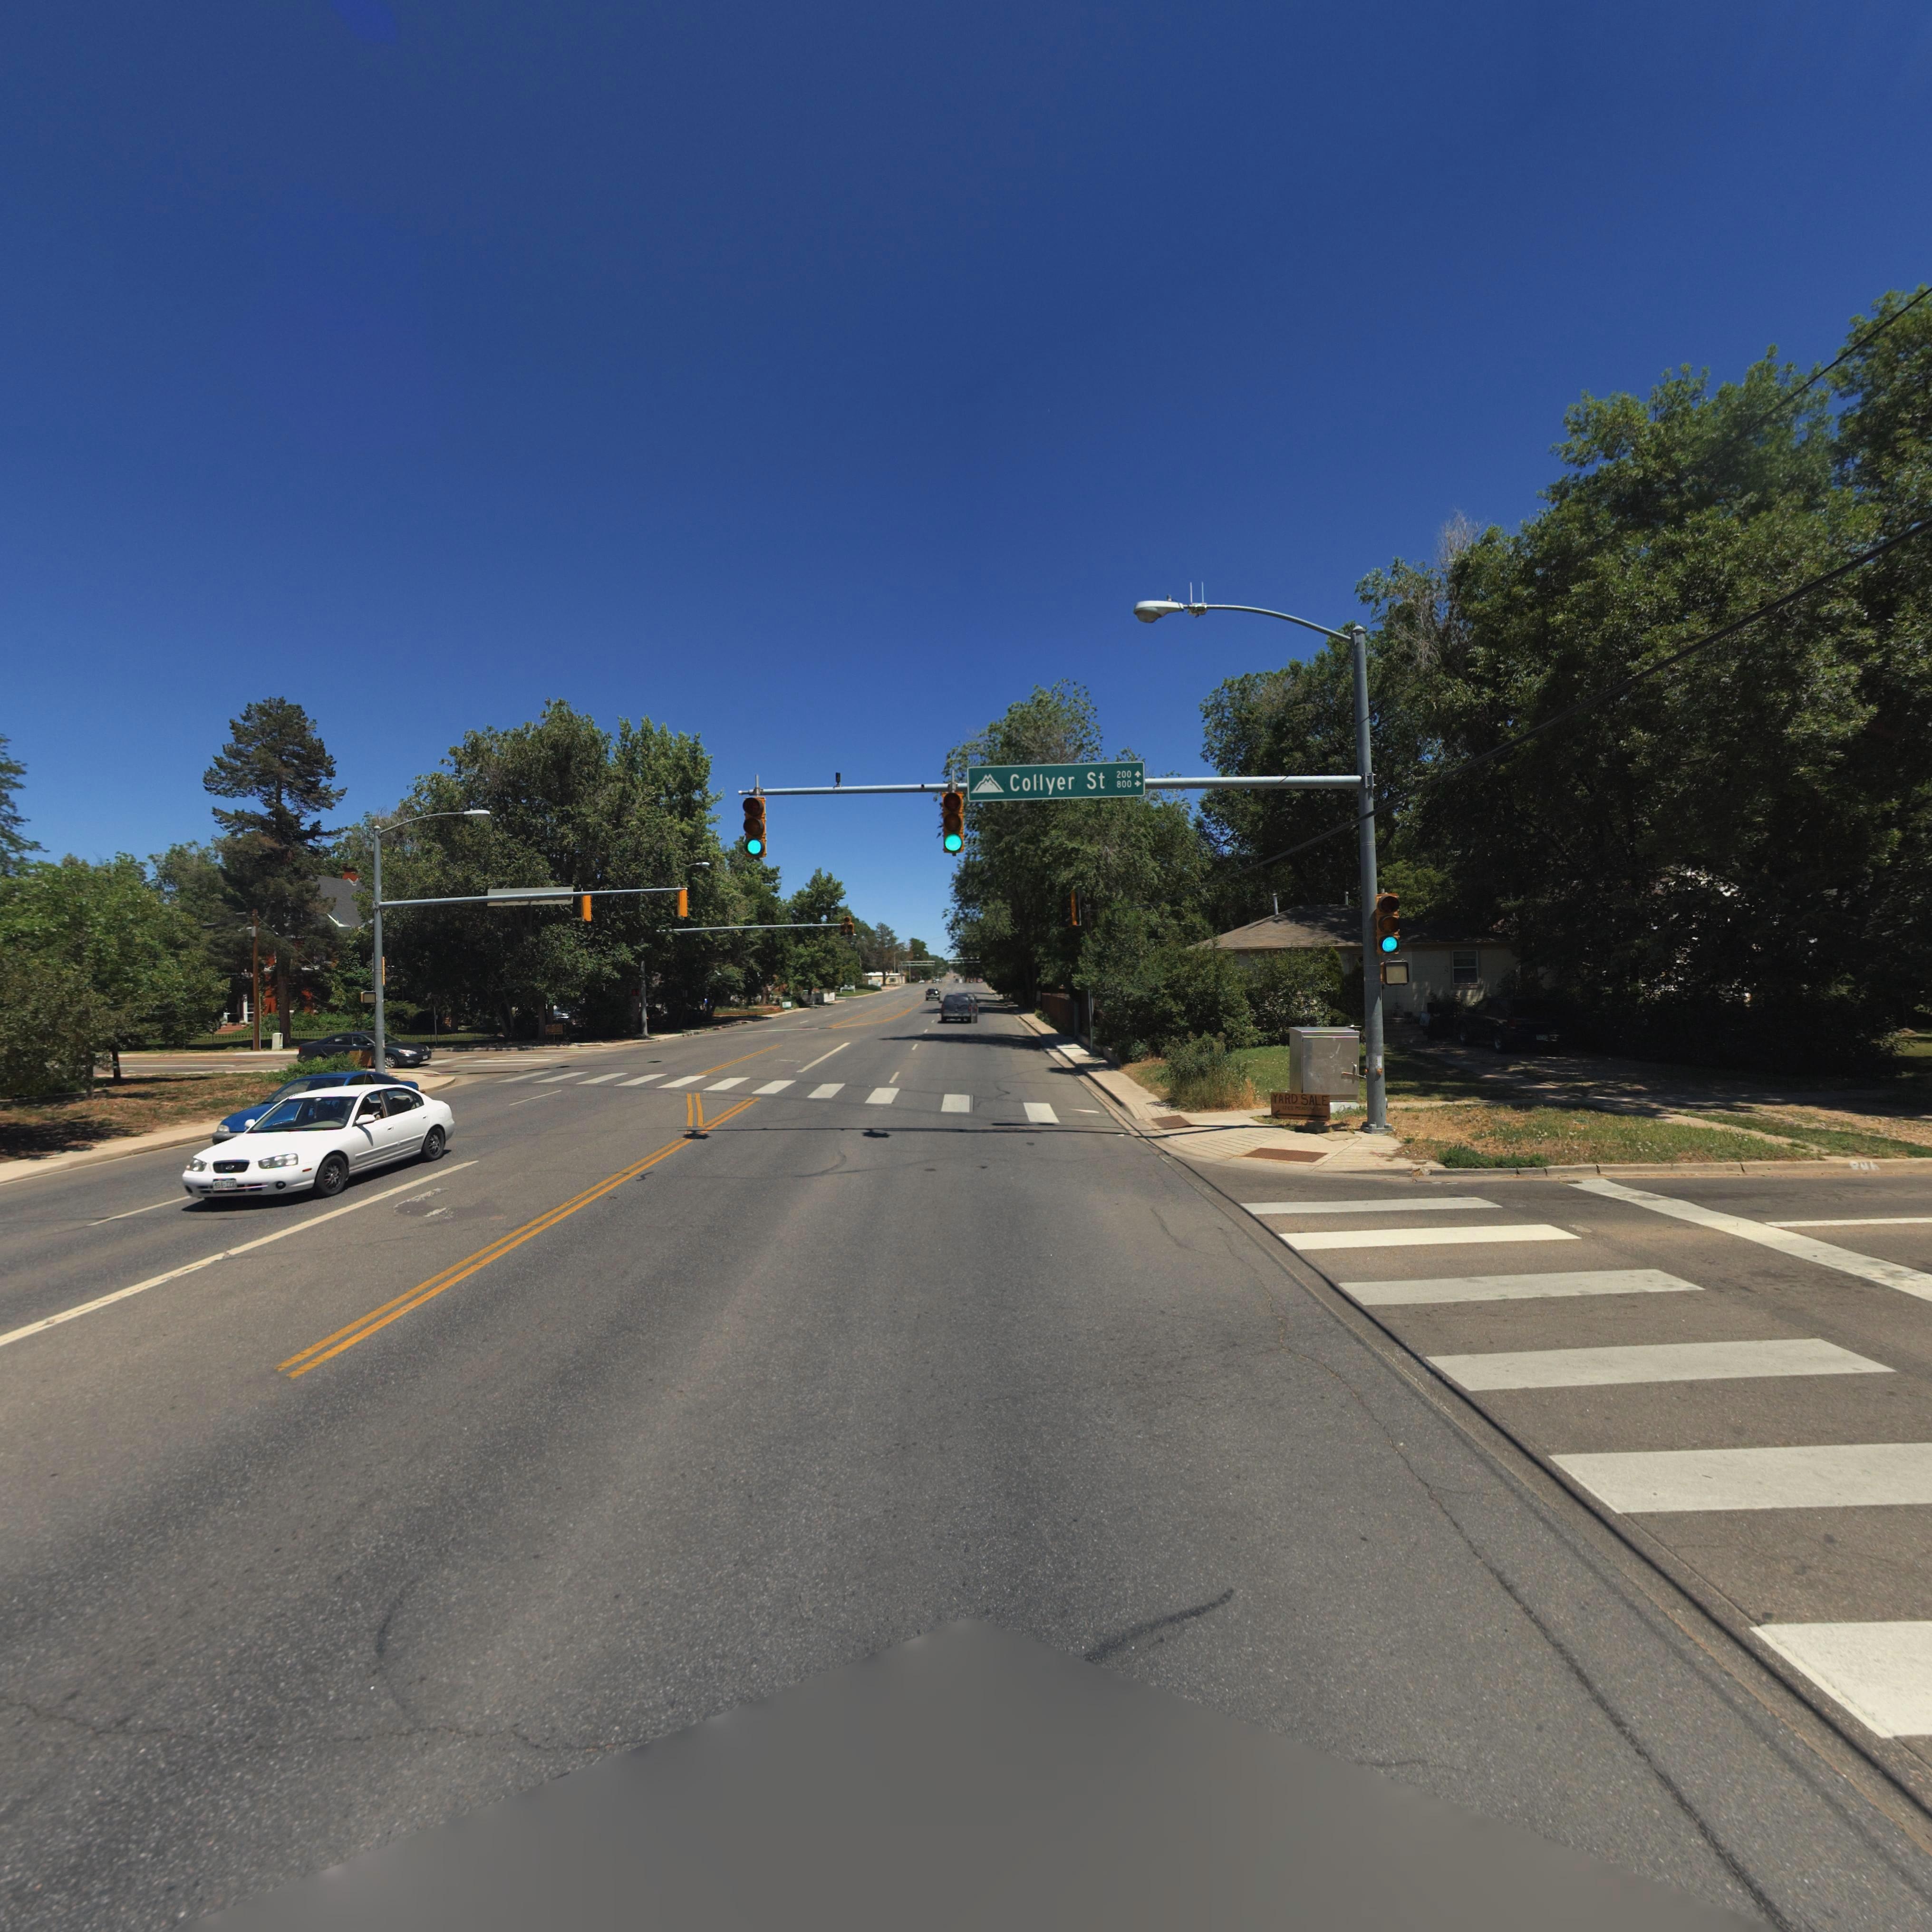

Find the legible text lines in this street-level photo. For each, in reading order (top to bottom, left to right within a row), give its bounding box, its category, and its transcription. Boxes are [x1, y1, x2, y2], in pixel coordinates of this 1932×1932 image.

[1116, 770, 1131, 778] StreetNumberRange: 200
[1009, 771, 1105, 795] StreetName: Collyer St
[1116, 780, 1142, 788] StreetNumberRange: 800->